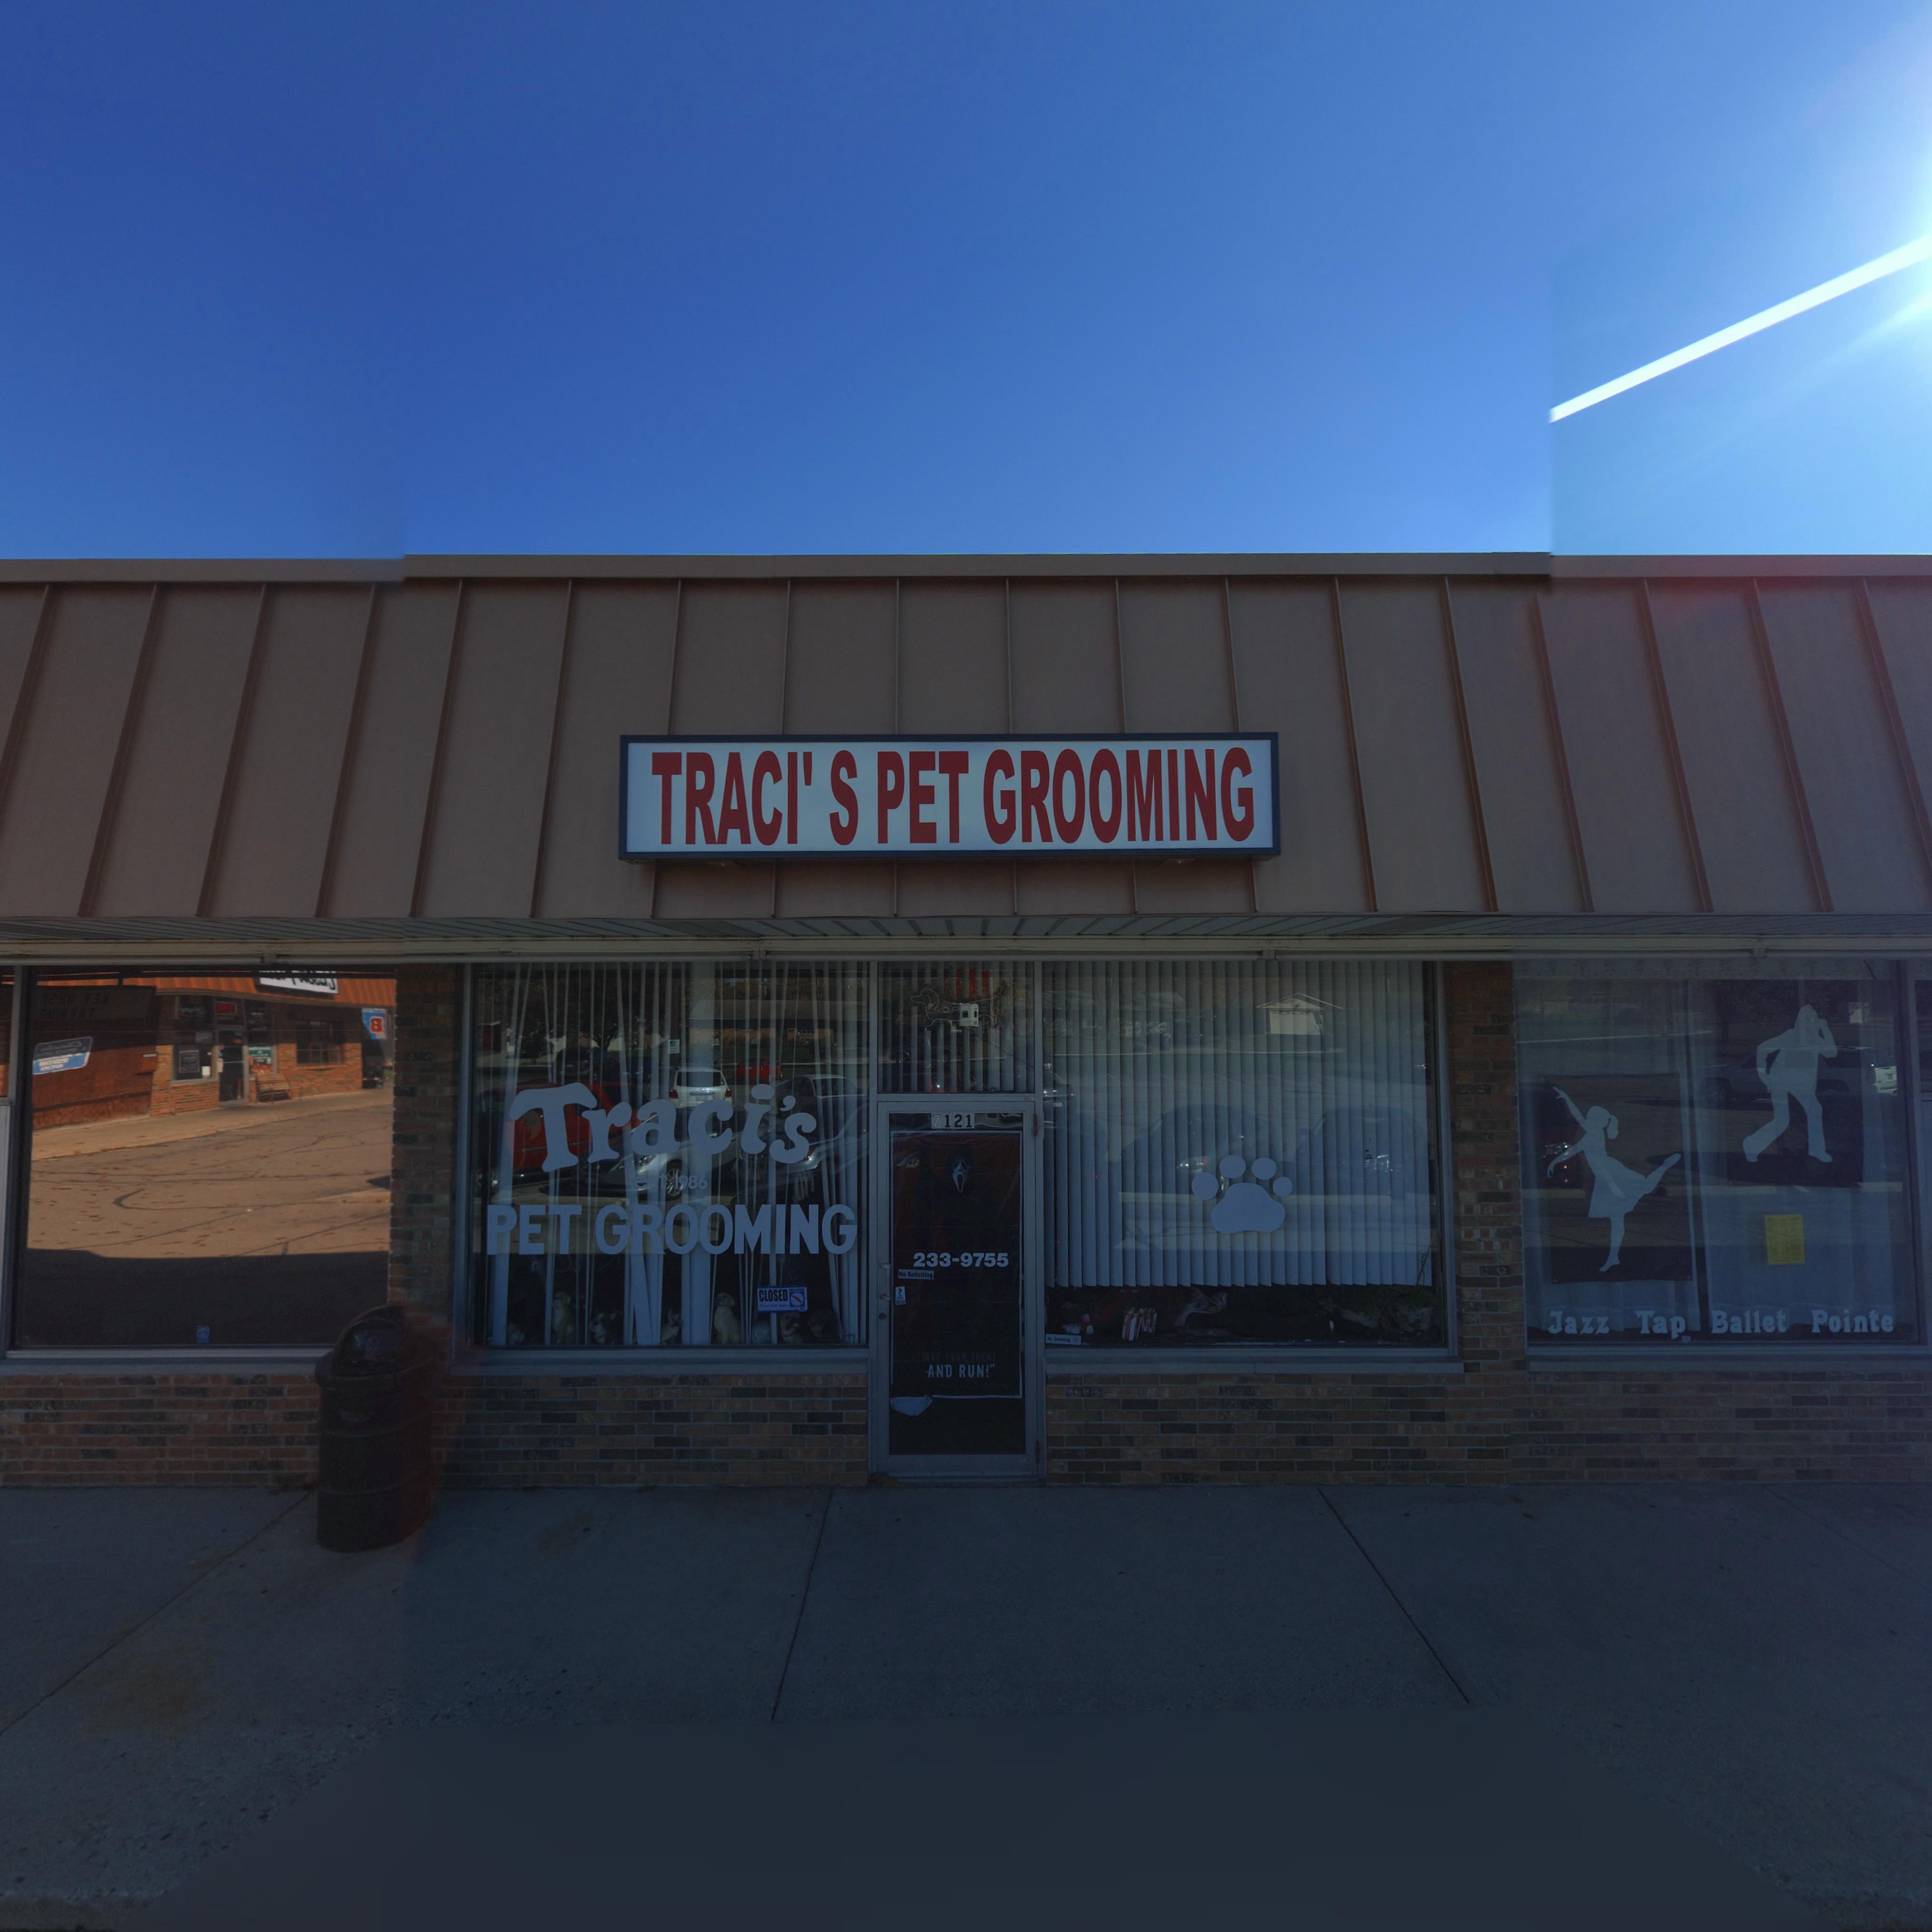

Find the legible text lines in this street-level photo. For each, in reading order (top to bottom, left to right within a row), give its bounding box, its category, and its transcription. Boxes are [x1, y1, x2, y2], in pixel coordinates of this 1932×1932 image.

[648, 745, 1258, 848] BusinessName: TRACI'S PET GROOMING
[932, 1113, 973, 1128] StreetNumber: 7121
[483, 1202, 861, 1258] BusinessName: PET GROOMING